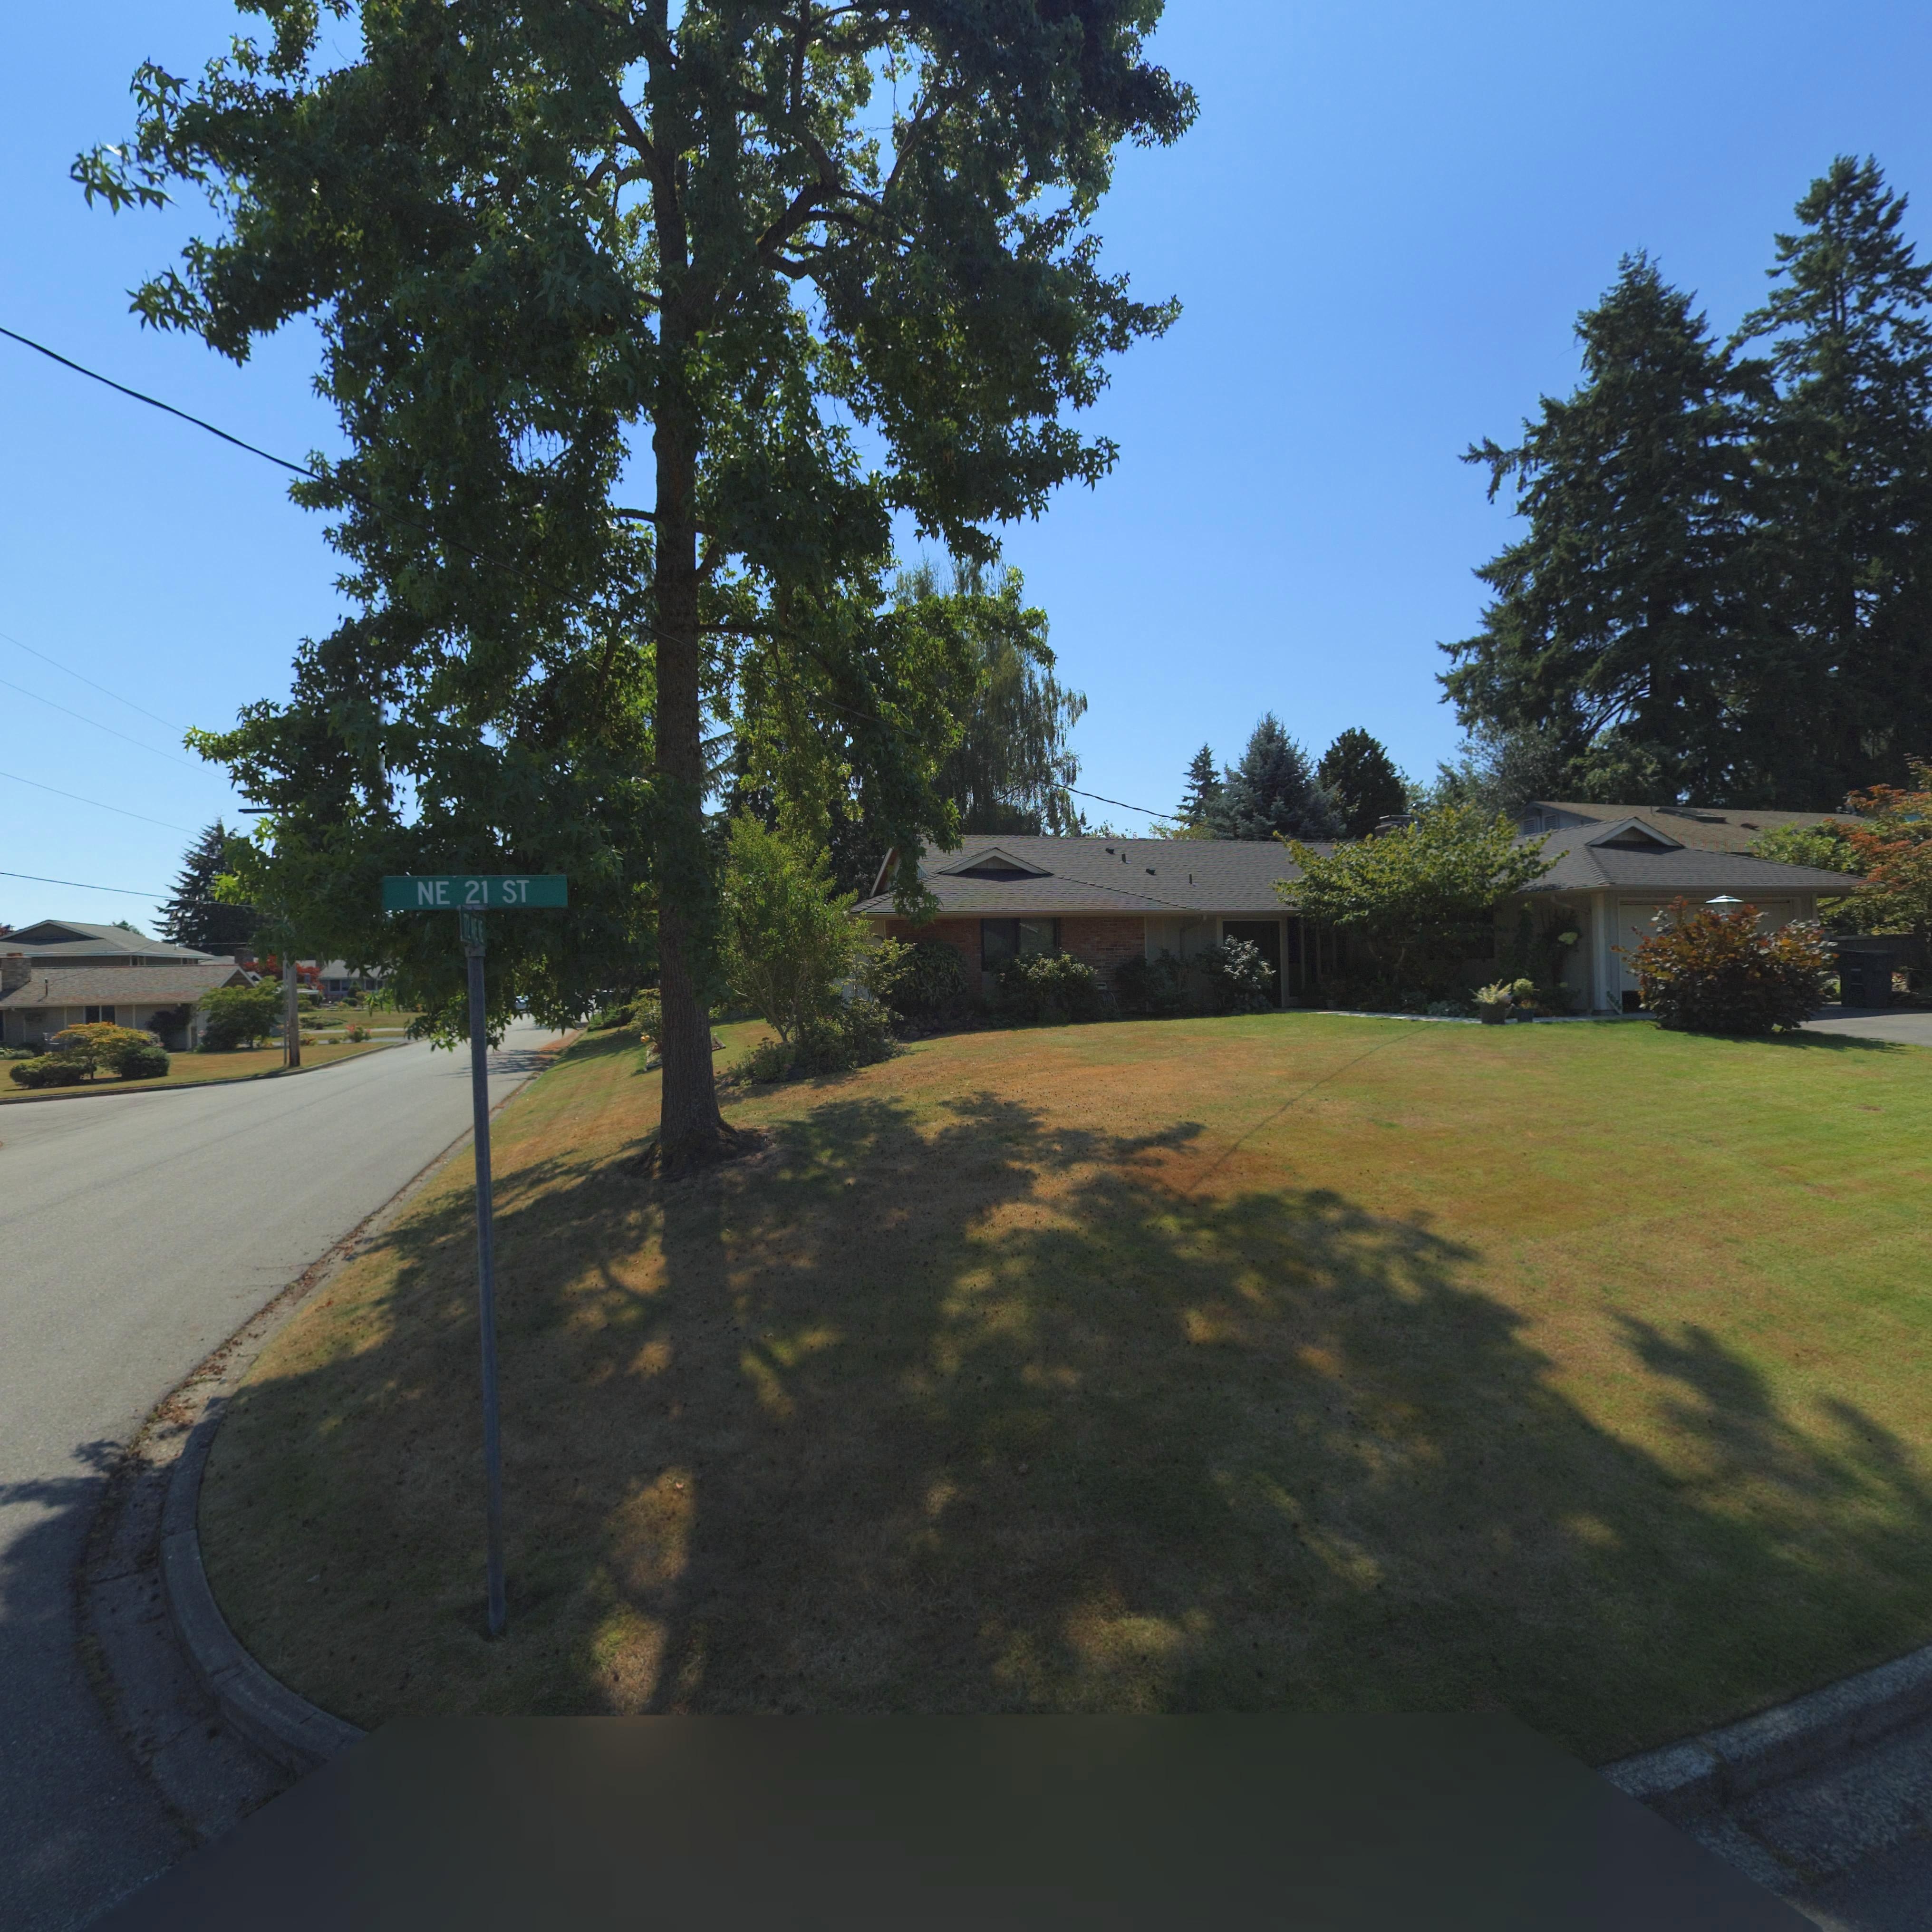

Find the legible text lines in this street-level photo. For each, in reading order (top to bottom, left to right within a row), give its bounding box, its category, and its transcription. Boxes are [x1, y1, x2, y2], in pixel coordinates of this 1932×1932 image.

[418, 879, 529, 904] StreetName: NE 21 ST